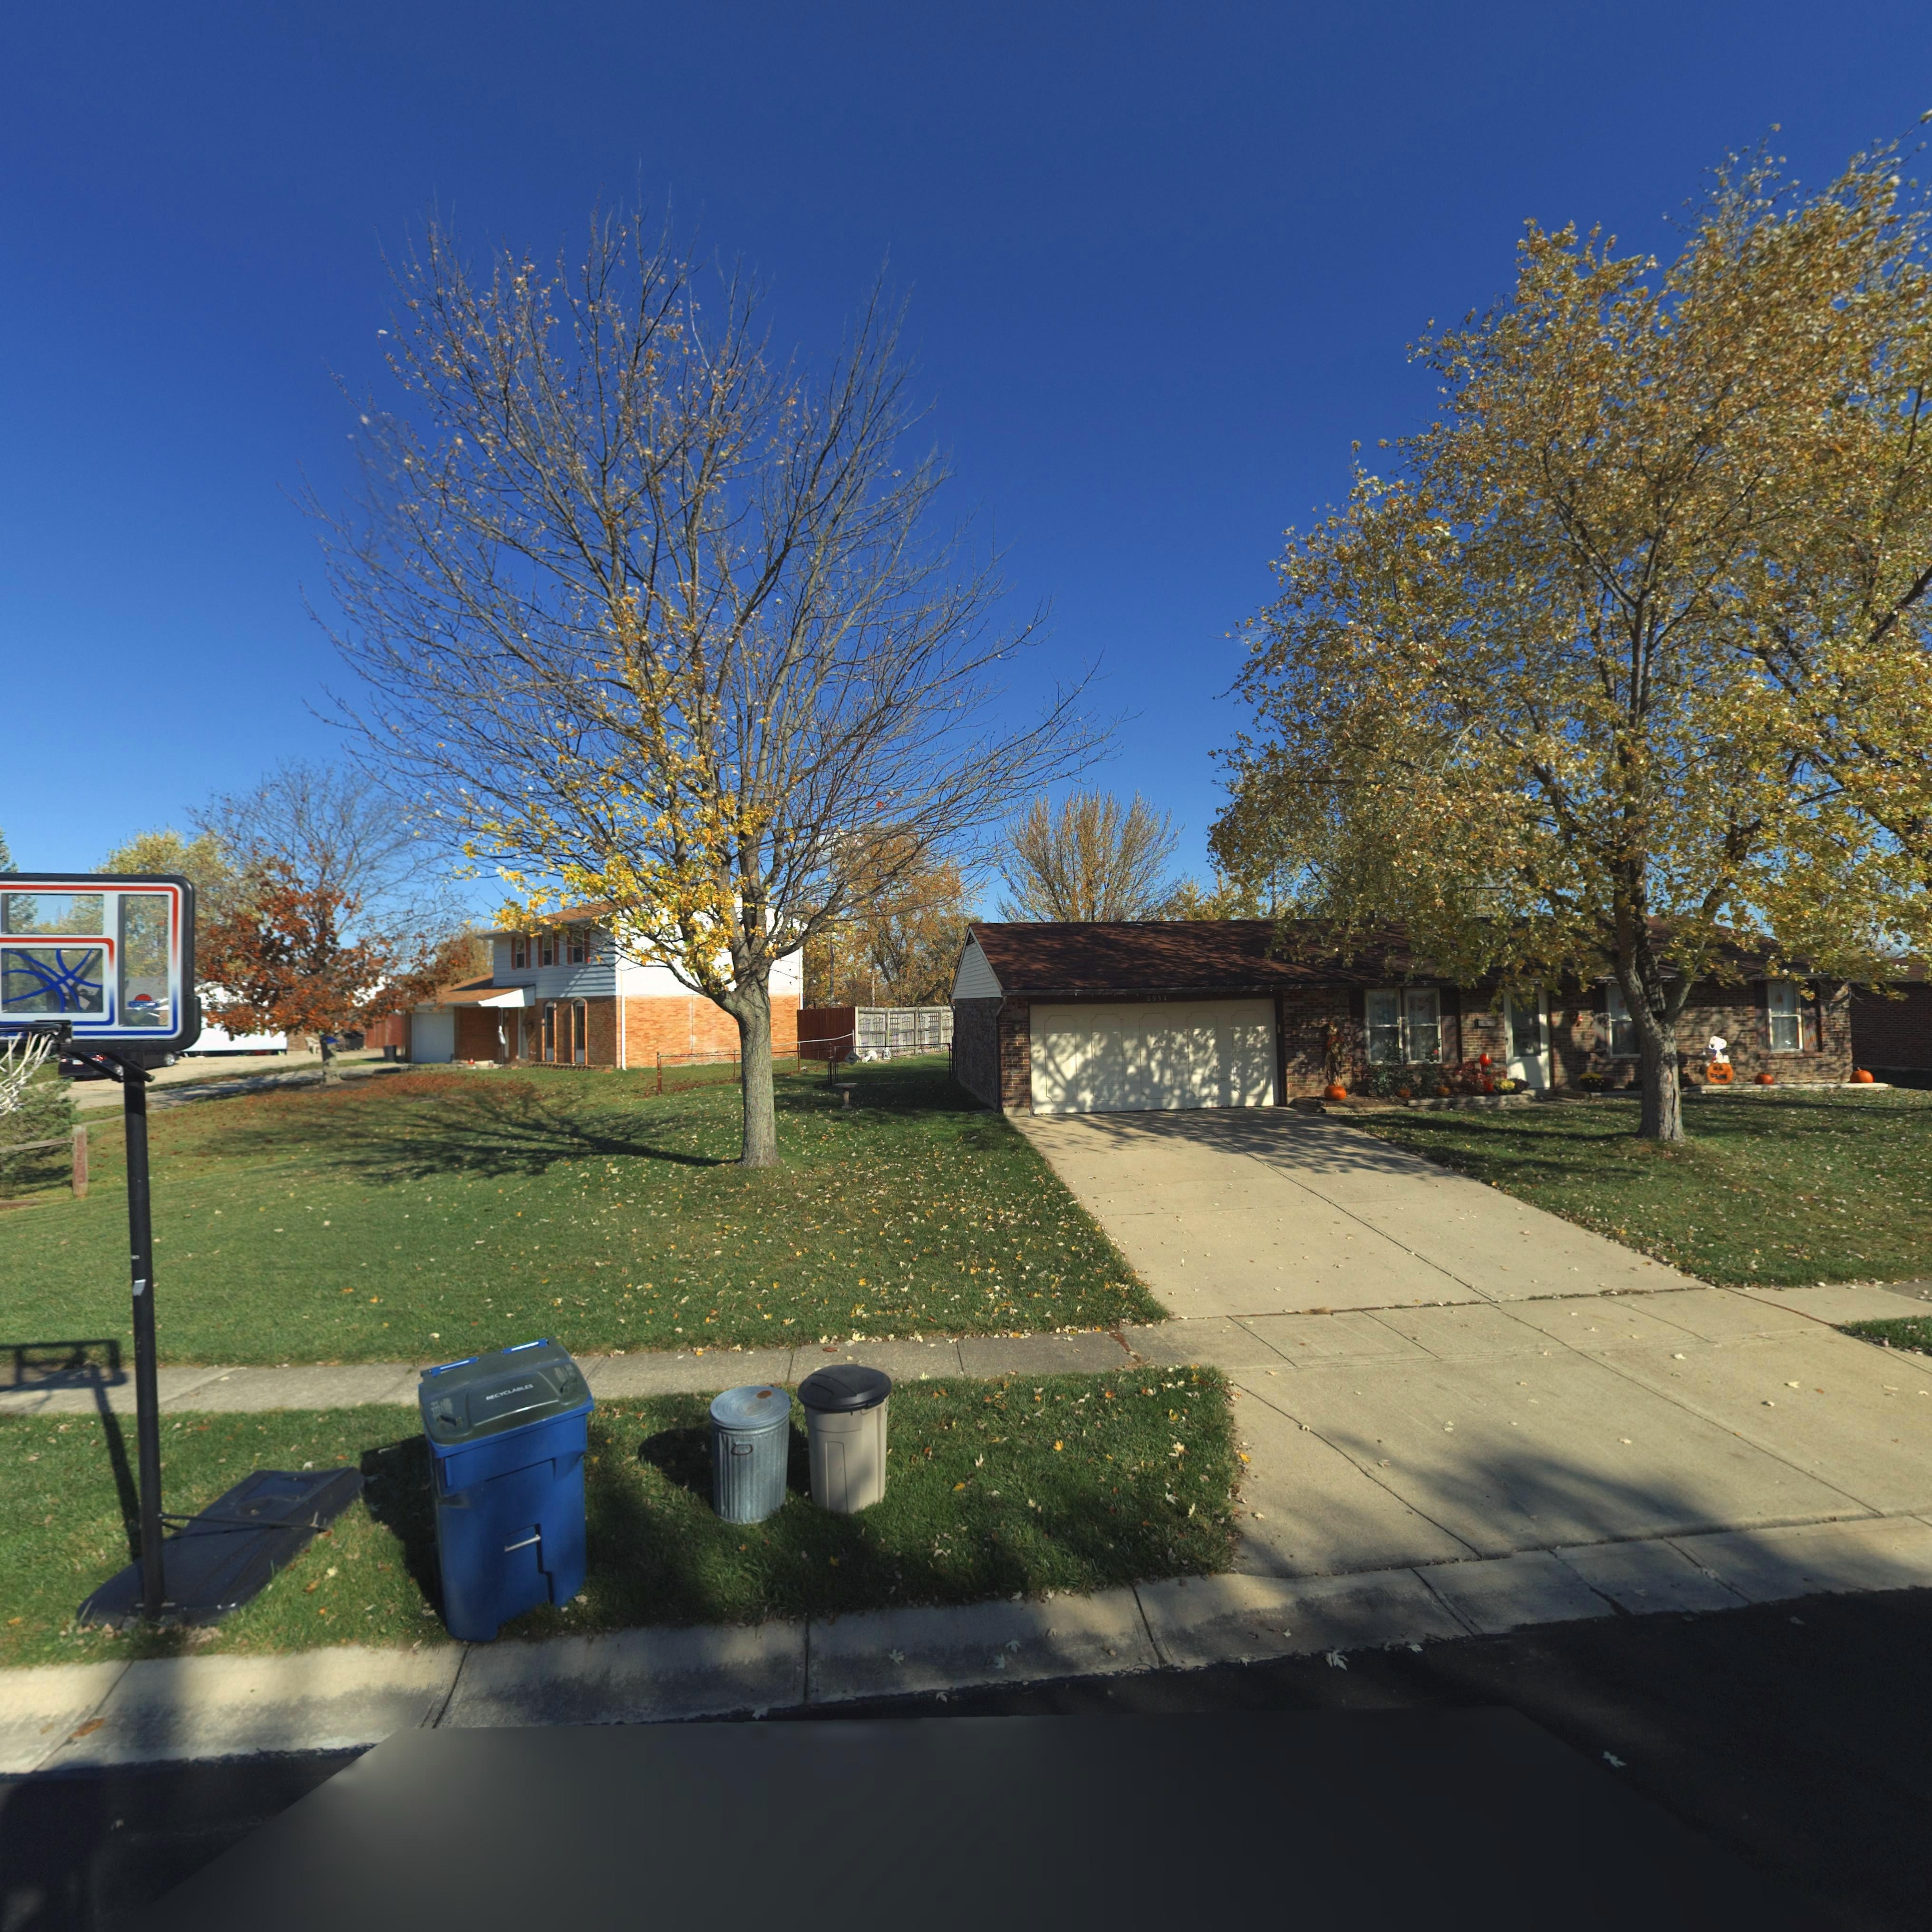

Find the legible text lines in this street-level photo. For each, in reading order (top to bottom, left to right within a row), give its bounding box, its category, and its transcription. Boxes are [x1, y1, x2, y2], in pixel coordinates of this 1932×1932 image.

[1146, 995, 1168, 1002] StreetNumber: 6939